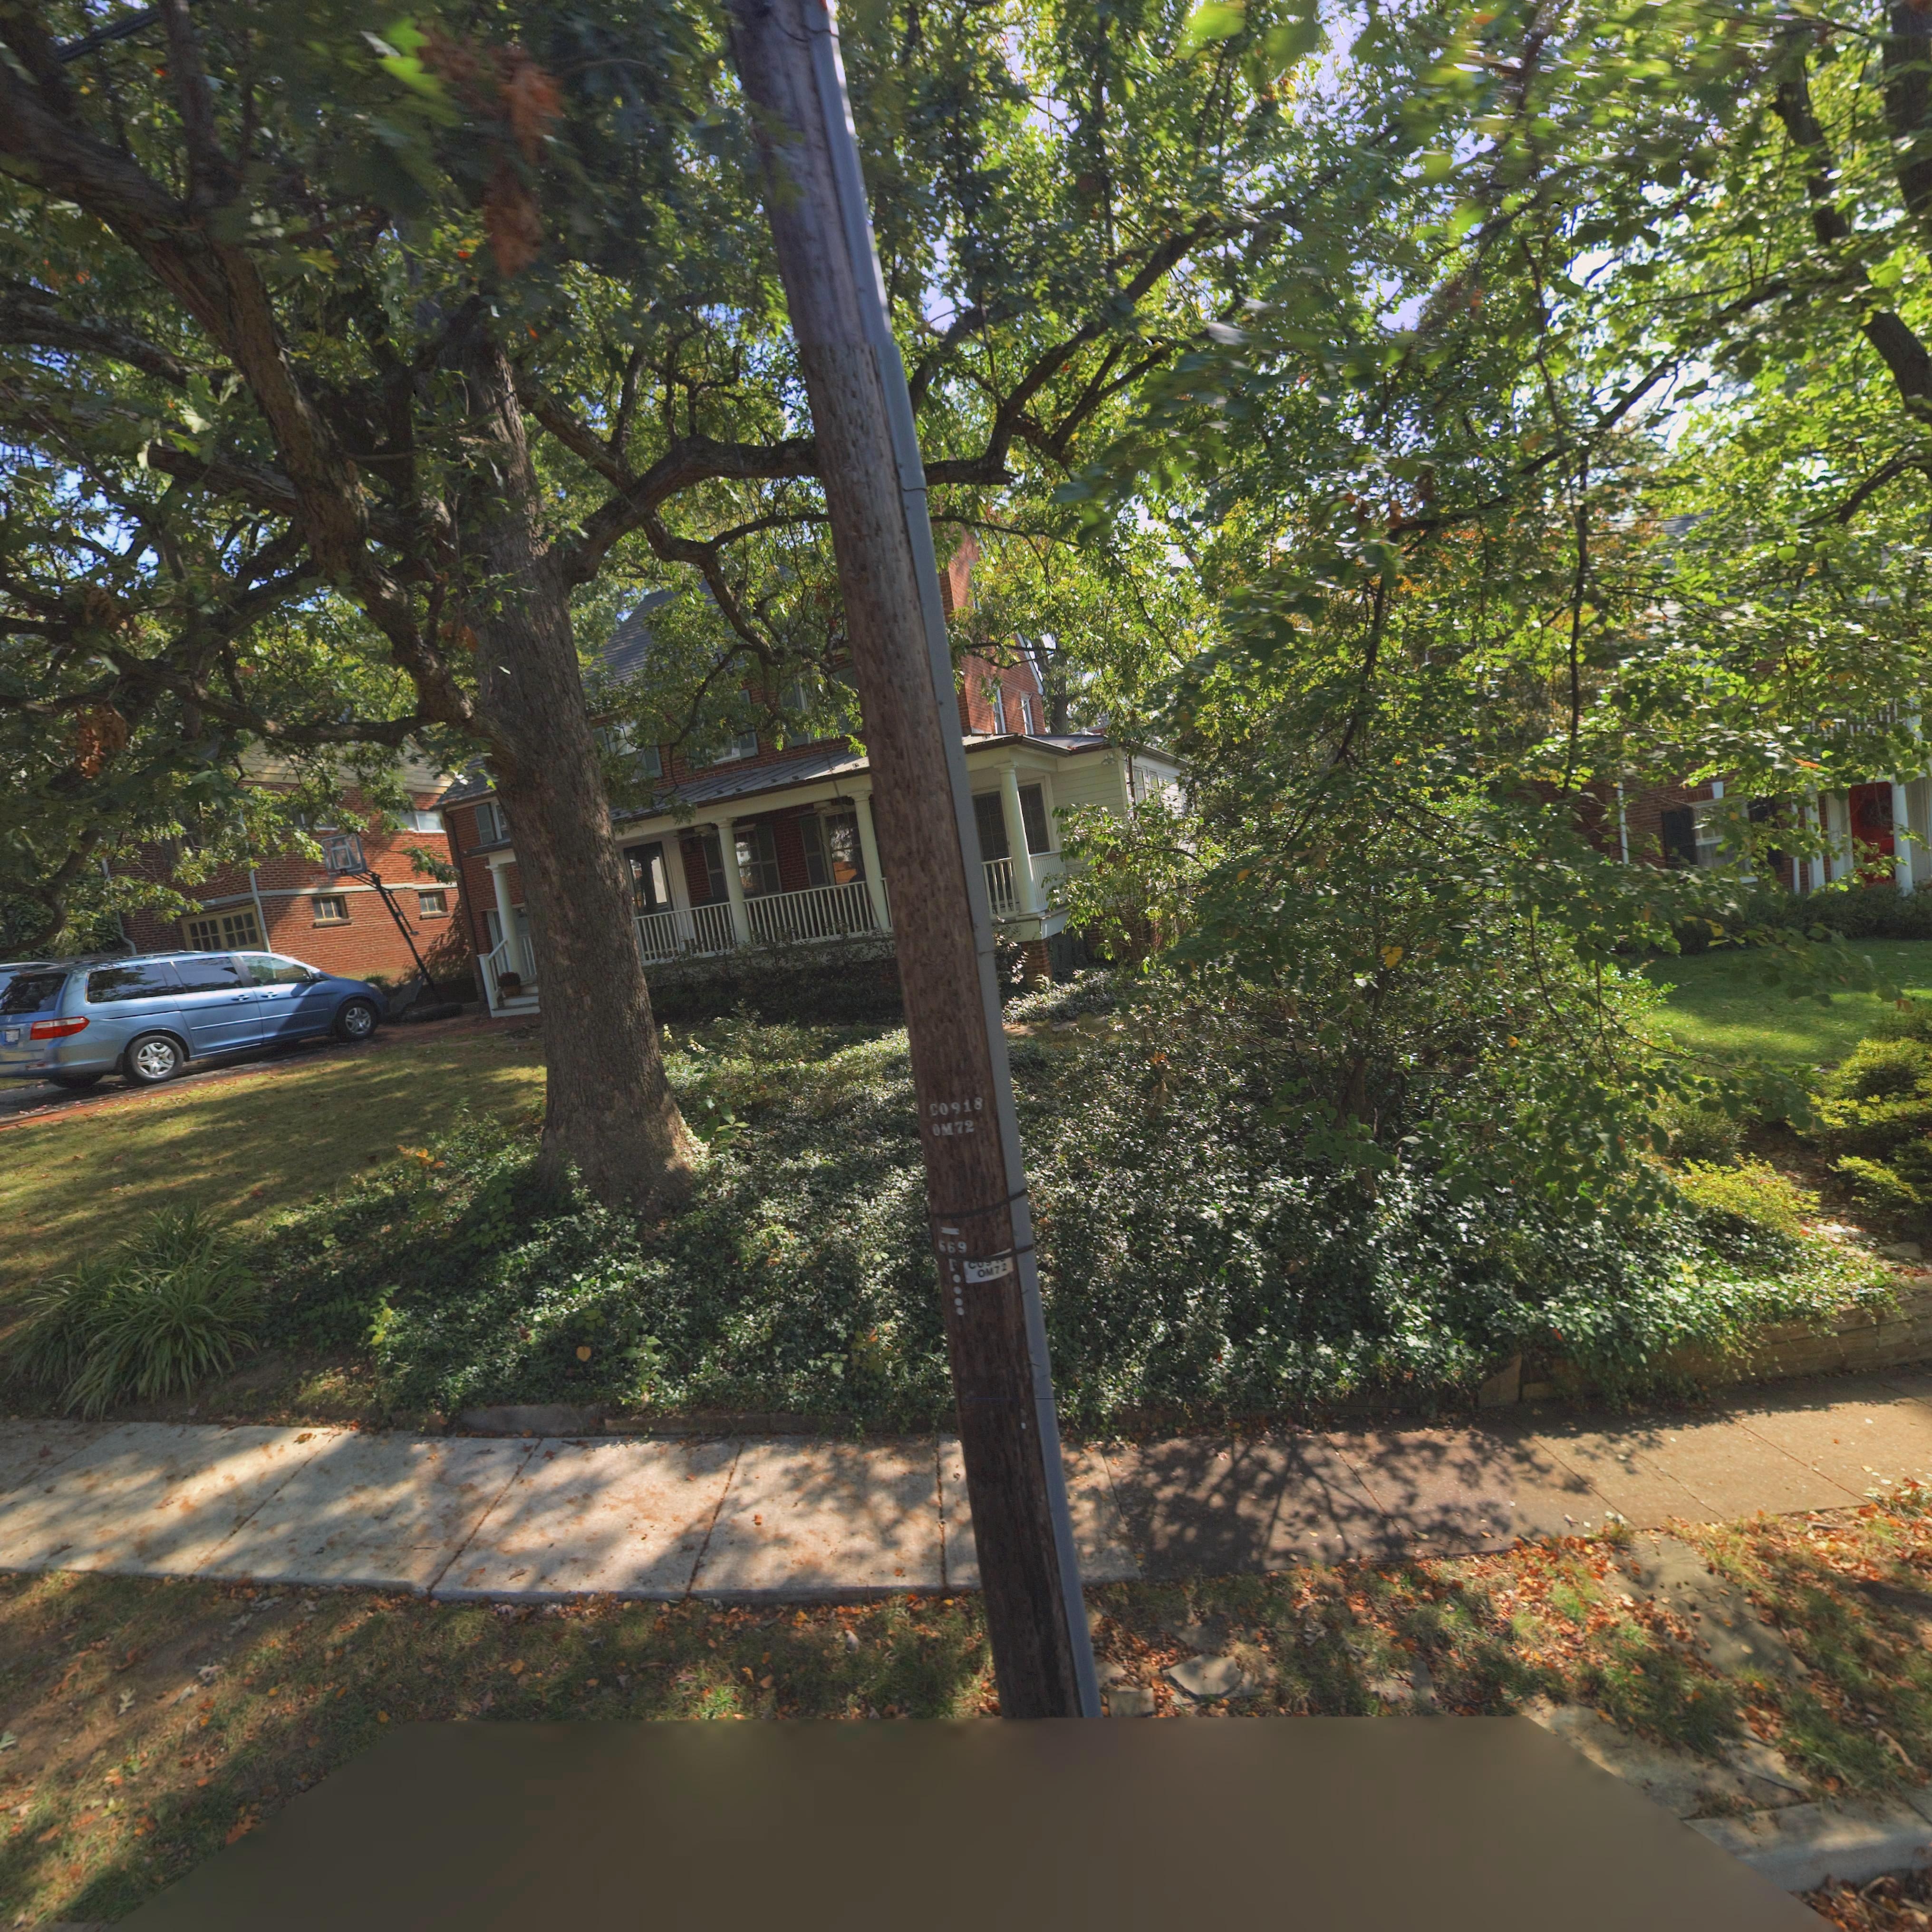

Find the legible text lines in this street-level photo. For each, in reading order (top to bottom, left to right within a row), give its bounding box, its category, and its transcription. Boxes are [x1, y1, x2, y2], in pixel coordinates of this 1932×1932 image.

[927, 1094, 985, 1117] None: CO918
[931, 1118, 976, 1138] None: OM72
[937, 1237, 969, 1256] None: 669
[976, 1261, 1009, 1280] None: OM72